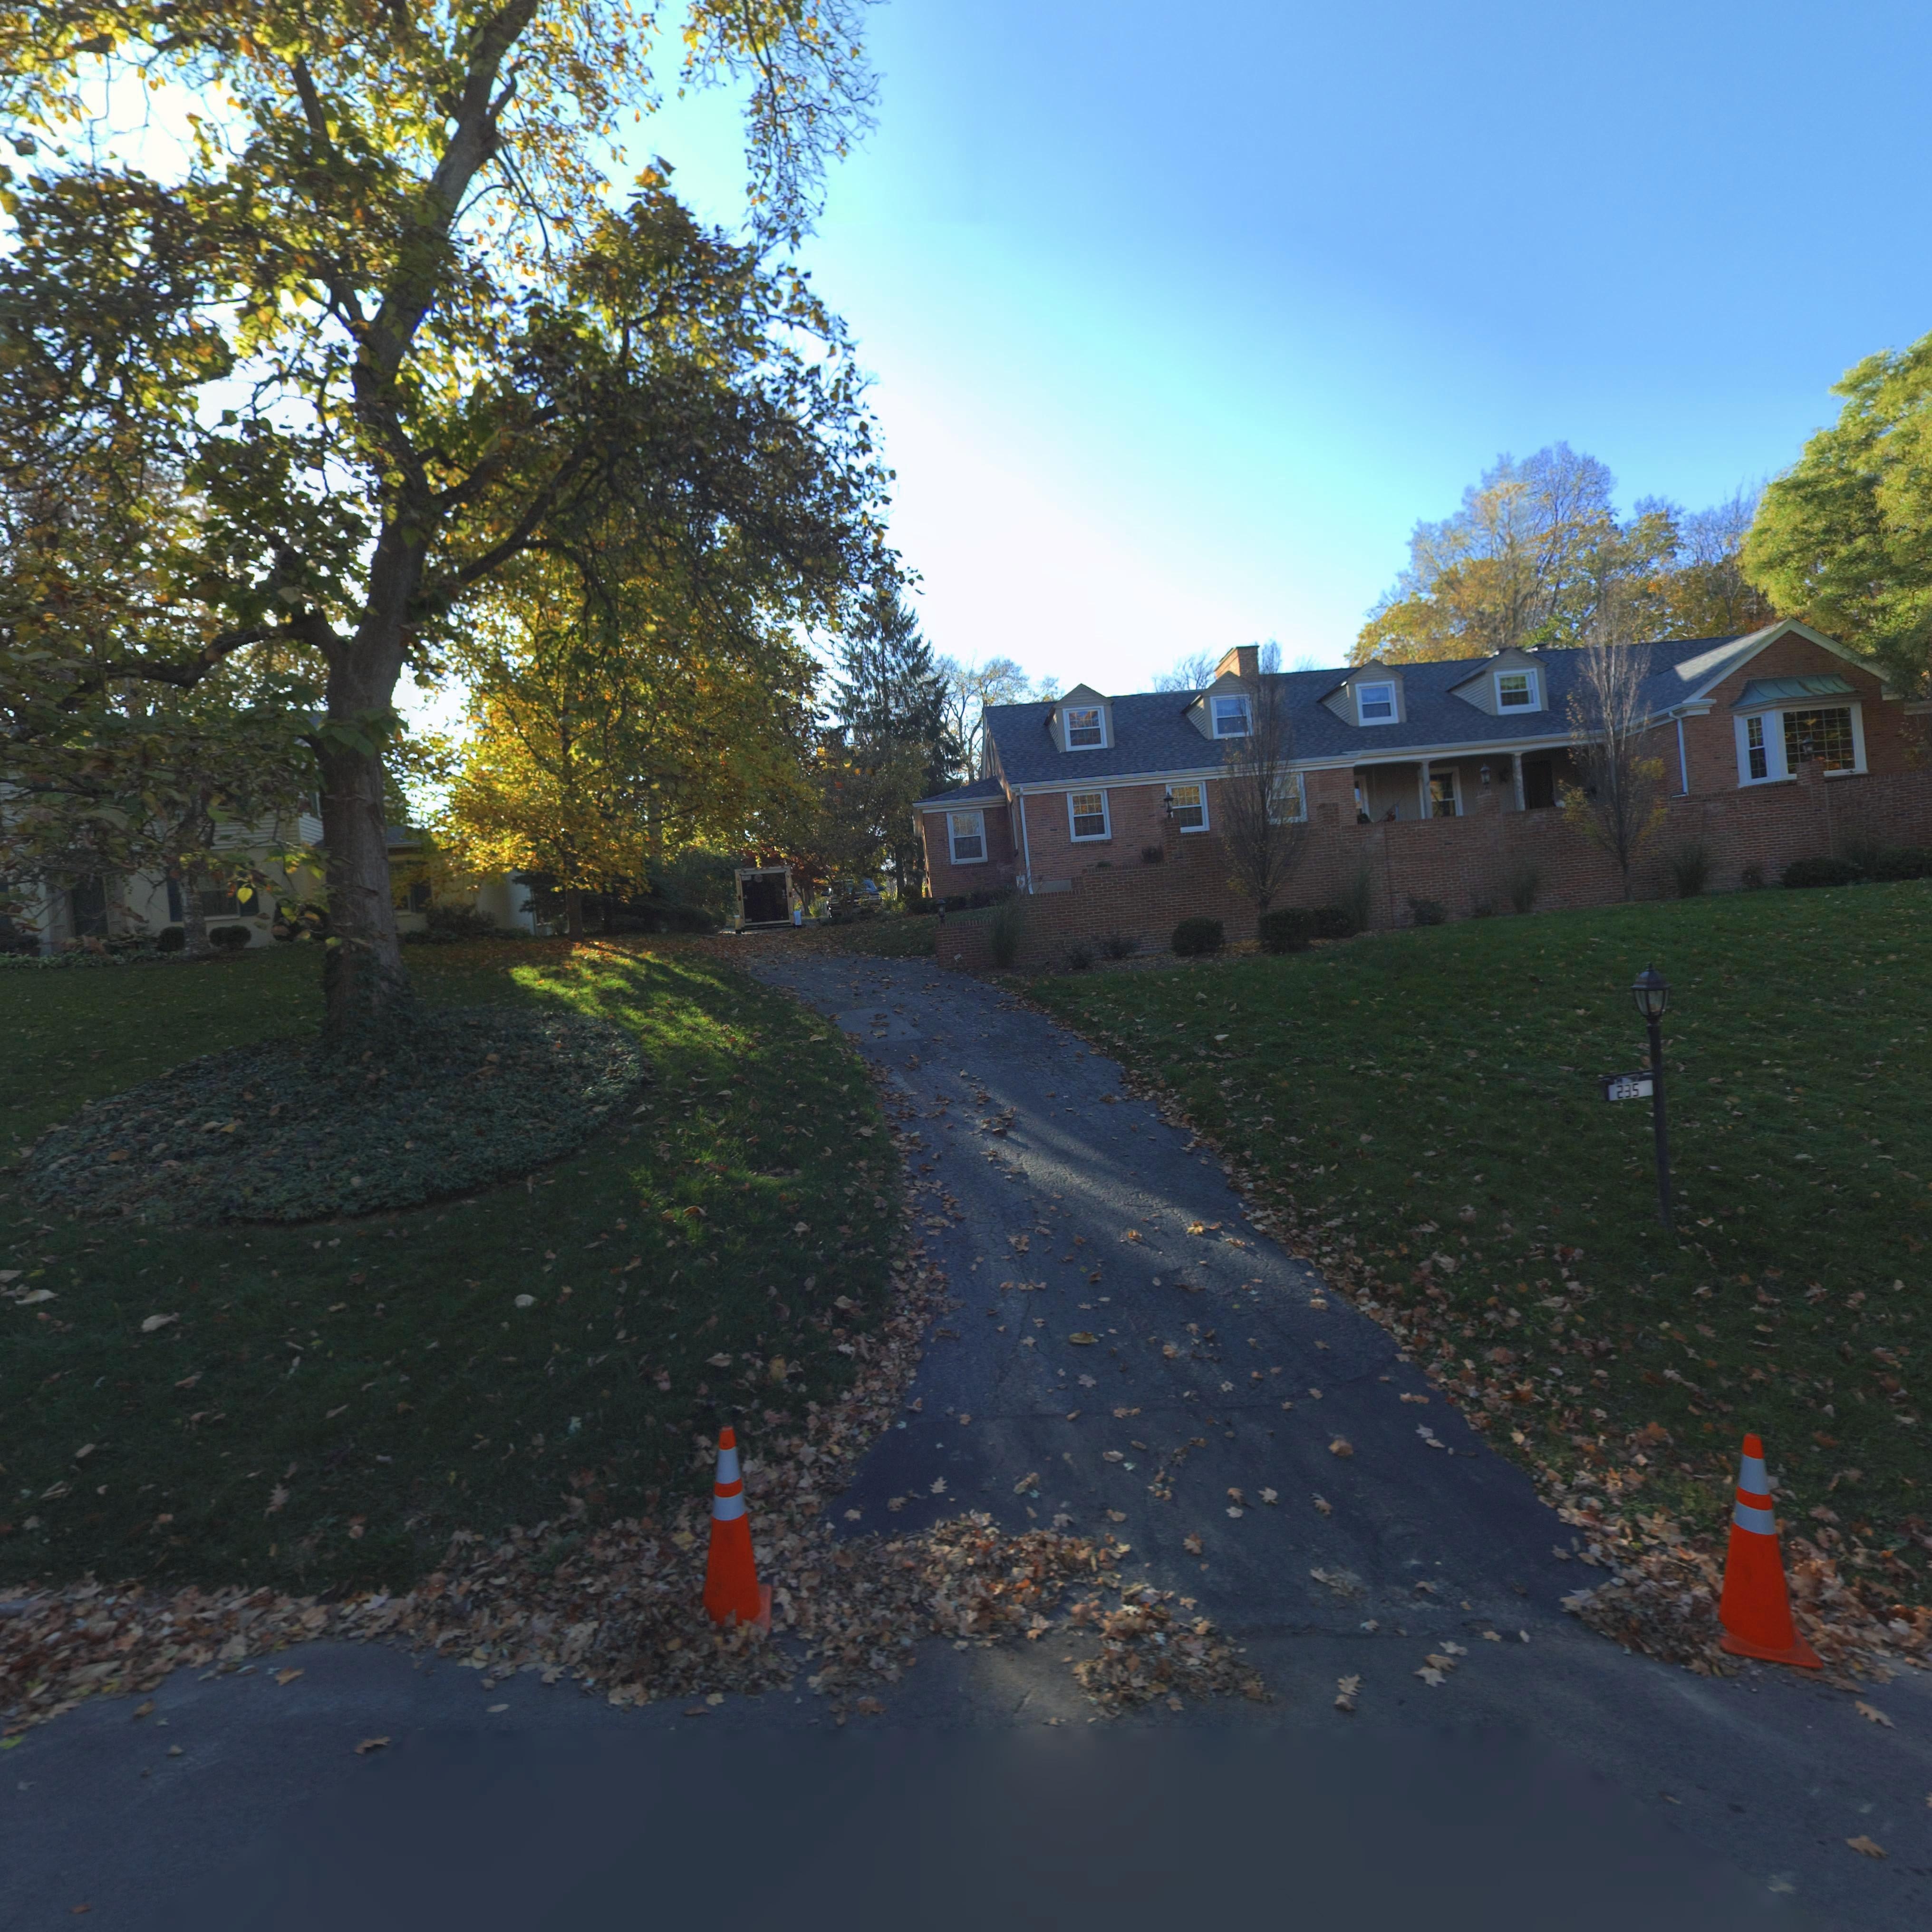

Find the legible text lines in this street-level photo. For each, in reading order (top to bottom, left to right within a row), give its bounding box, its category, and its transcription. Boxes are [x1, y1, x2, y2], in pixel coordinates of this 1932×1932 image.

[1615, 1081, 1641, 1101] StreetNumber: 235